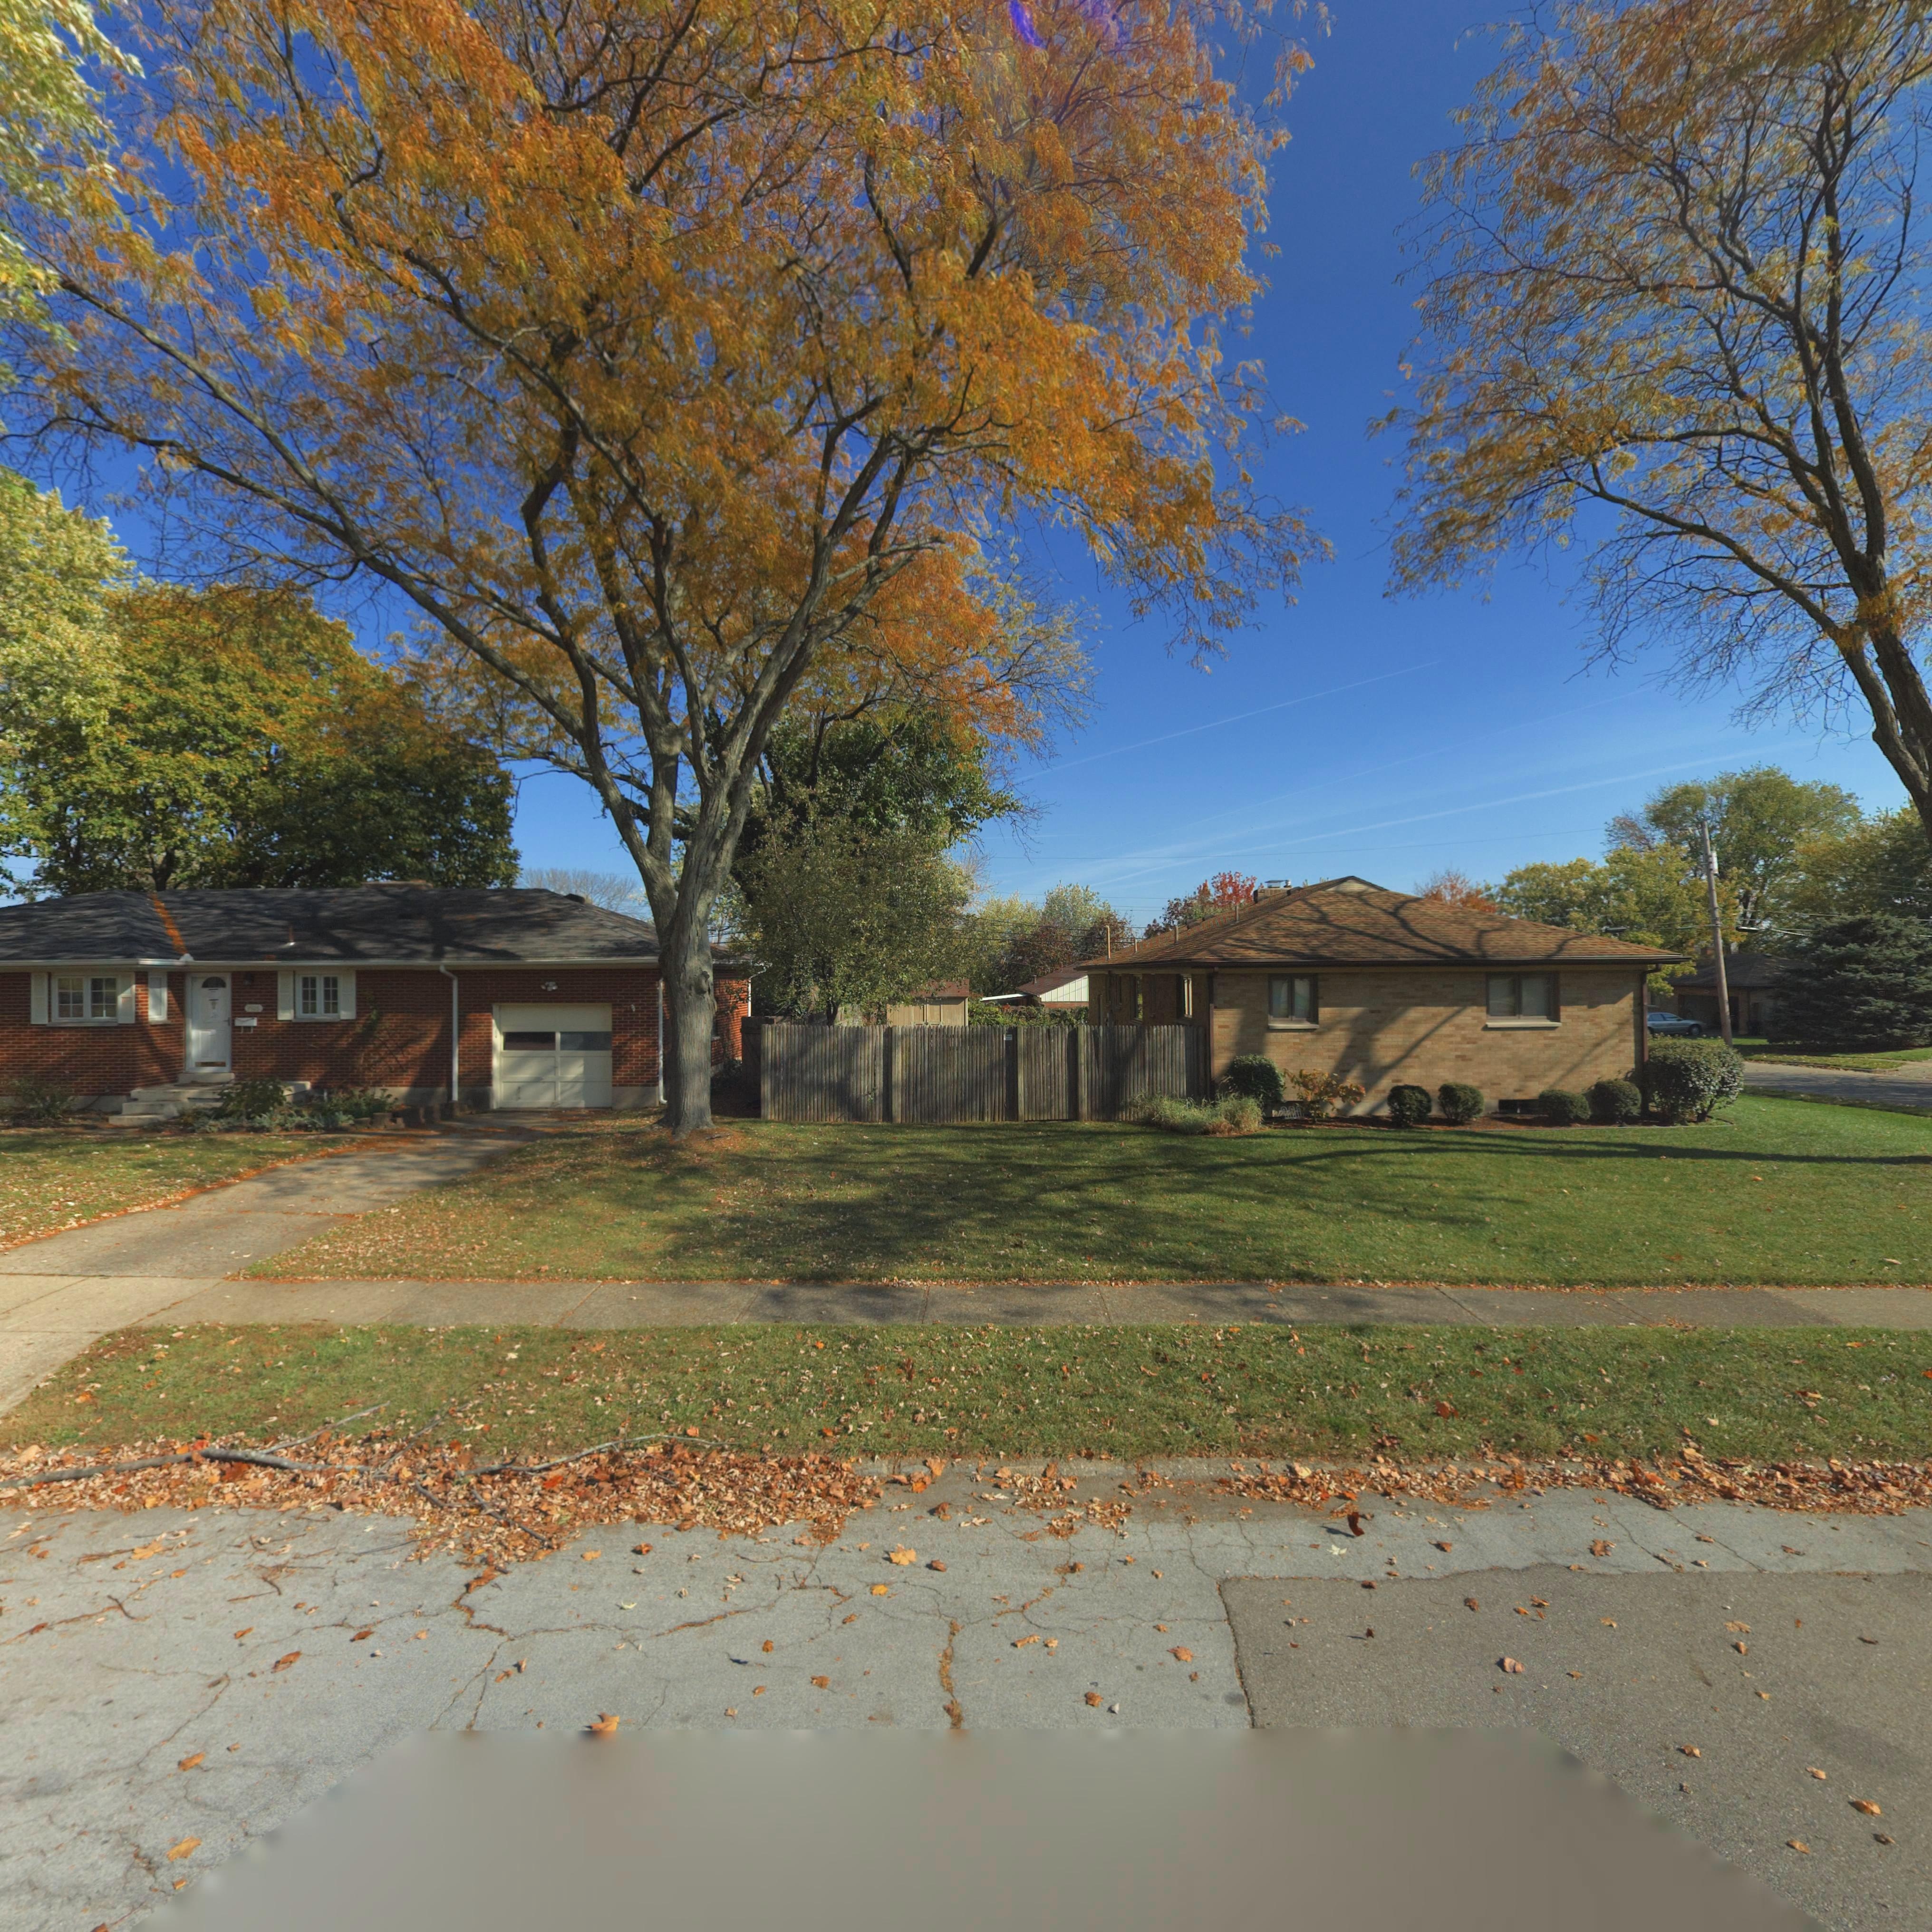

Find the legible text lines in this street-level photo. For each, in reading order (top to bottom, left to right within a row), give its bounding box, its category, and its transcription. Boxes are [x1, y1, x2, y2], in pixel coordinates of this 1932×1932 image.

[246, 1005, 259, 1011] StreetNumber: 3926